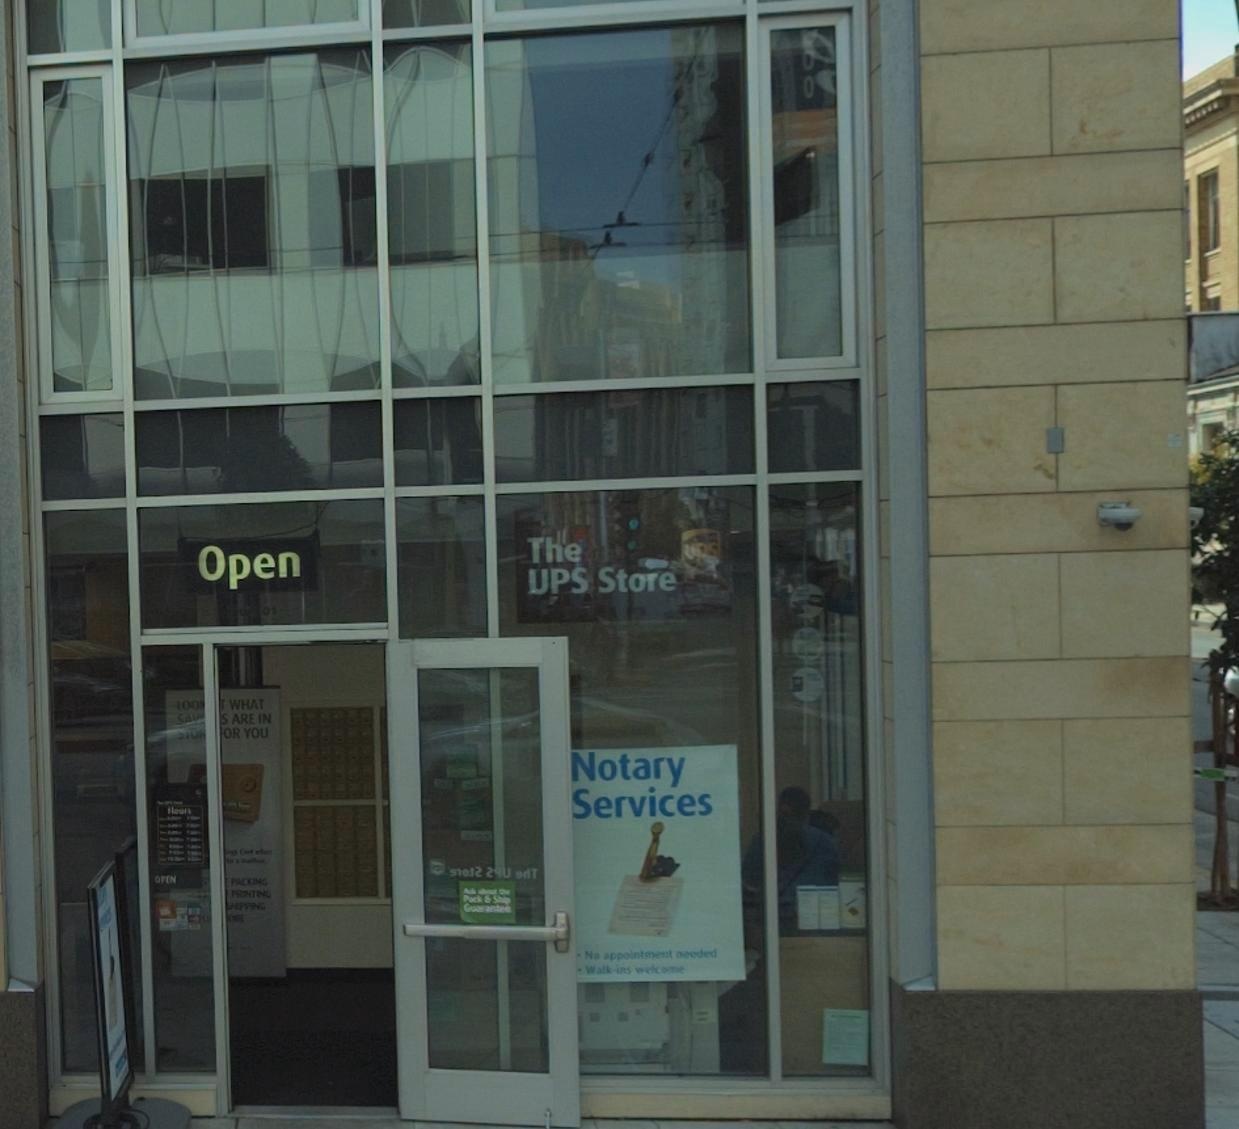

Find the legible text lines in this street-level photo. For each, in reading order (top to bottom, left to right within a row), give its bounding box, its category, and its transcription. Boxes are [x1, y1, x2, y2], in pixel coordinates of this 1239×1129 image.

[524, 533, 584, 566] BusinessName: The
[680, 539, 721, 572] None: ups
[194, 540, 304, 595] None: Open
[525, 563, 679, 598] BusinessName: UPS Store
[174, 696, 201, 713] None: LOO
[217, 695, 268, 713] None: T WHAT
[175, 711, 201, 728] None: SAV
[219, 710, 275, 727] None: S ARE IN
[221, 724, 272, 742] None: OR YOU
[566, 747, 690, 792] None: Notary
[568, 782, 717, 824] None: Services
[152, 872, 179, 887] None: OPEN
[229, 875, 271, 889] None: PACKING
[447, 863, 540, 882] None: **o** **U **T
[583, 945, 720, 965] None: No appointment needed
[582, 961, 688, 978] None: Walk-ins welcome